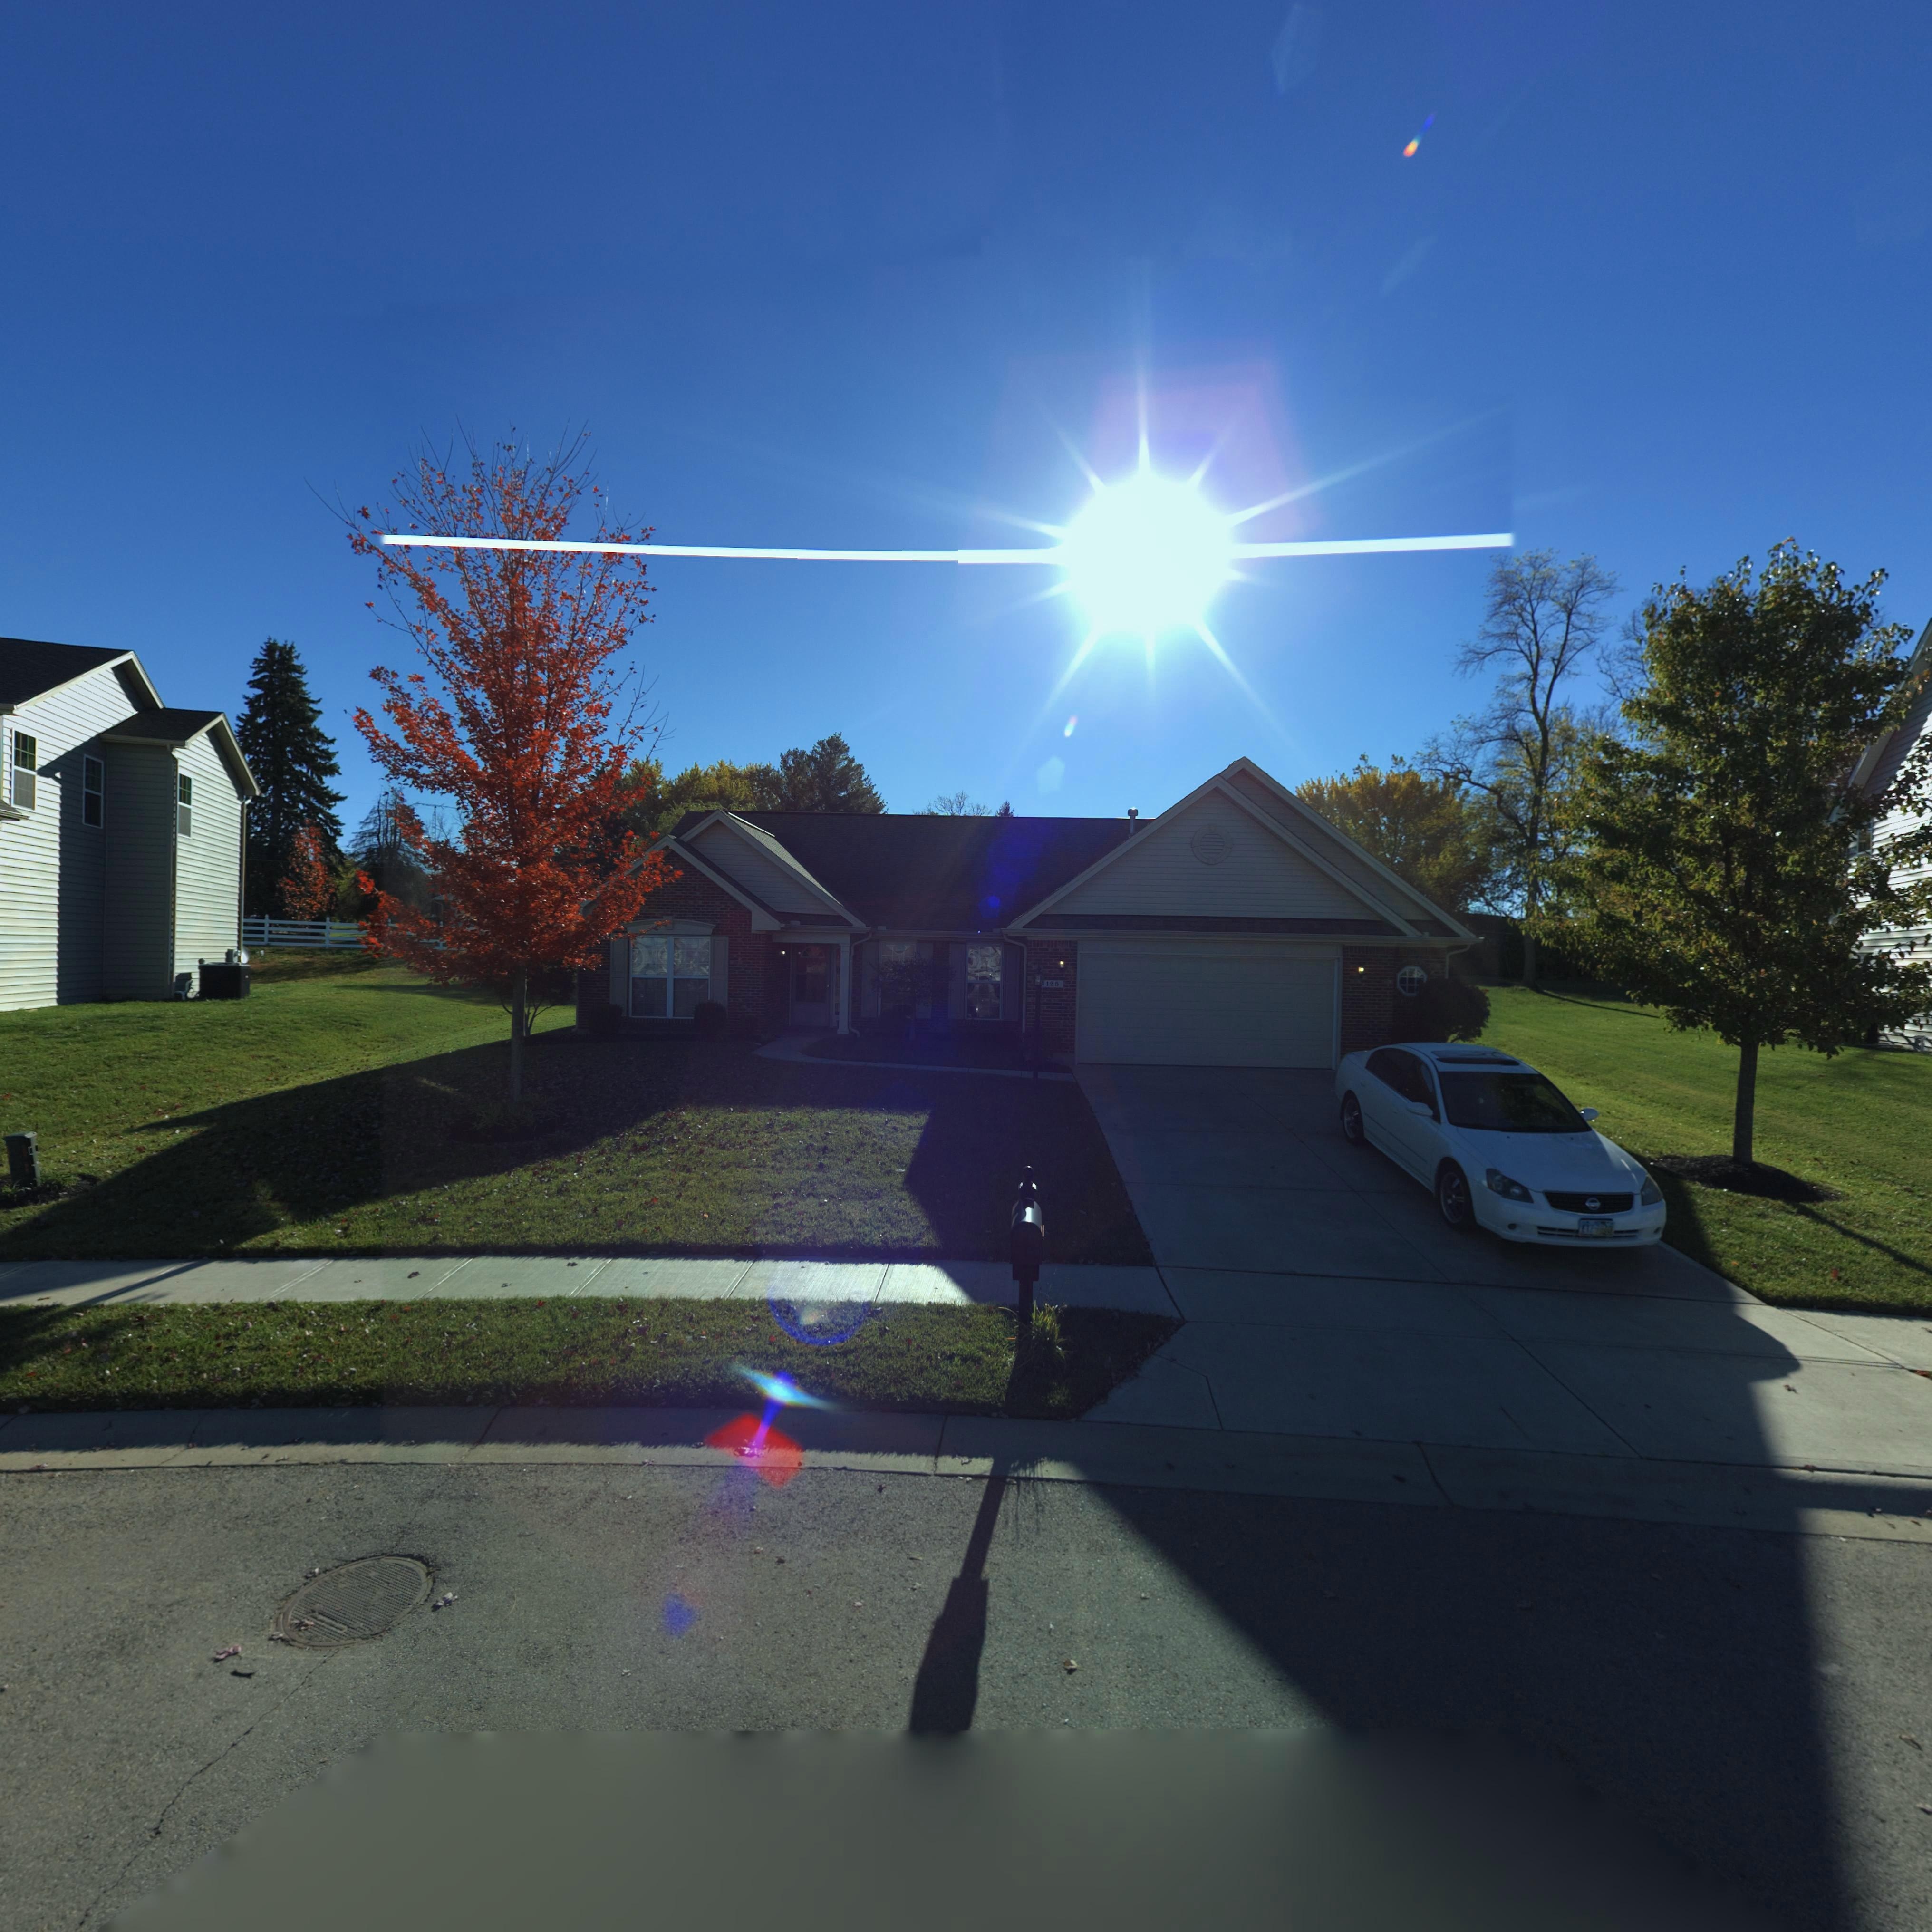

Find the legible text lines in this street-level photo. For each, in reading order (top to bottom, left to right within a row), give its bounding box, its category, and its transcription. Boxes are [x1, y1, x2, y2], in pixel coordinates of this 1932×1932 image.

[1045, 981, 1060, 987] StreetNumber: 125